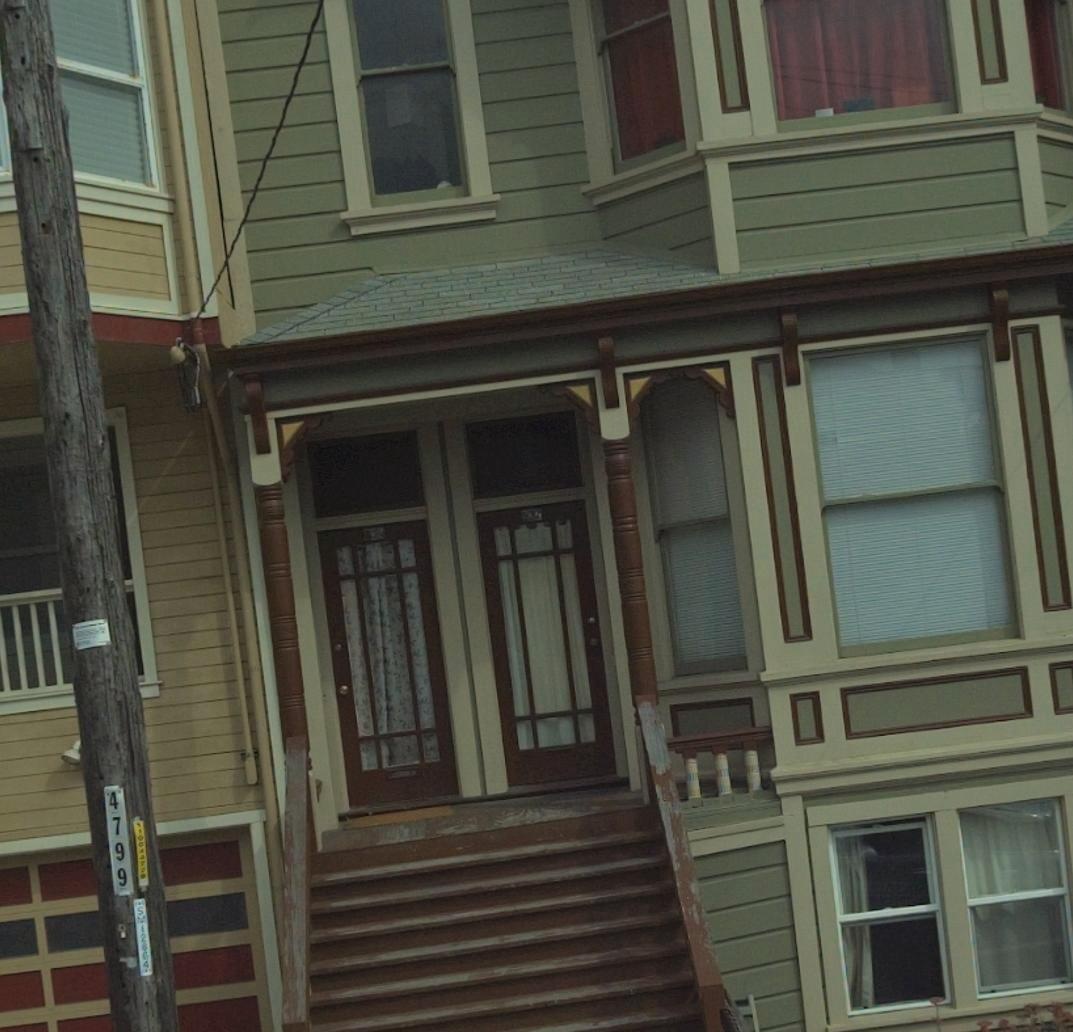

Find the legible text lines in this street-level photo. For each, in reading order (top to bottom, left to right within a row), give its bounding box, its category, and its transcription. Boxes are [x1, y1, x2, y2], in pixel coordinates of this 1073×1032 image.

[520, 509, 542, 521] StreetNumber: 932
[105, 787, 131, 893] None: 4799
[136, 824, 147, 875] None: 1004477
[137, 923, 152, 971] None: 12664